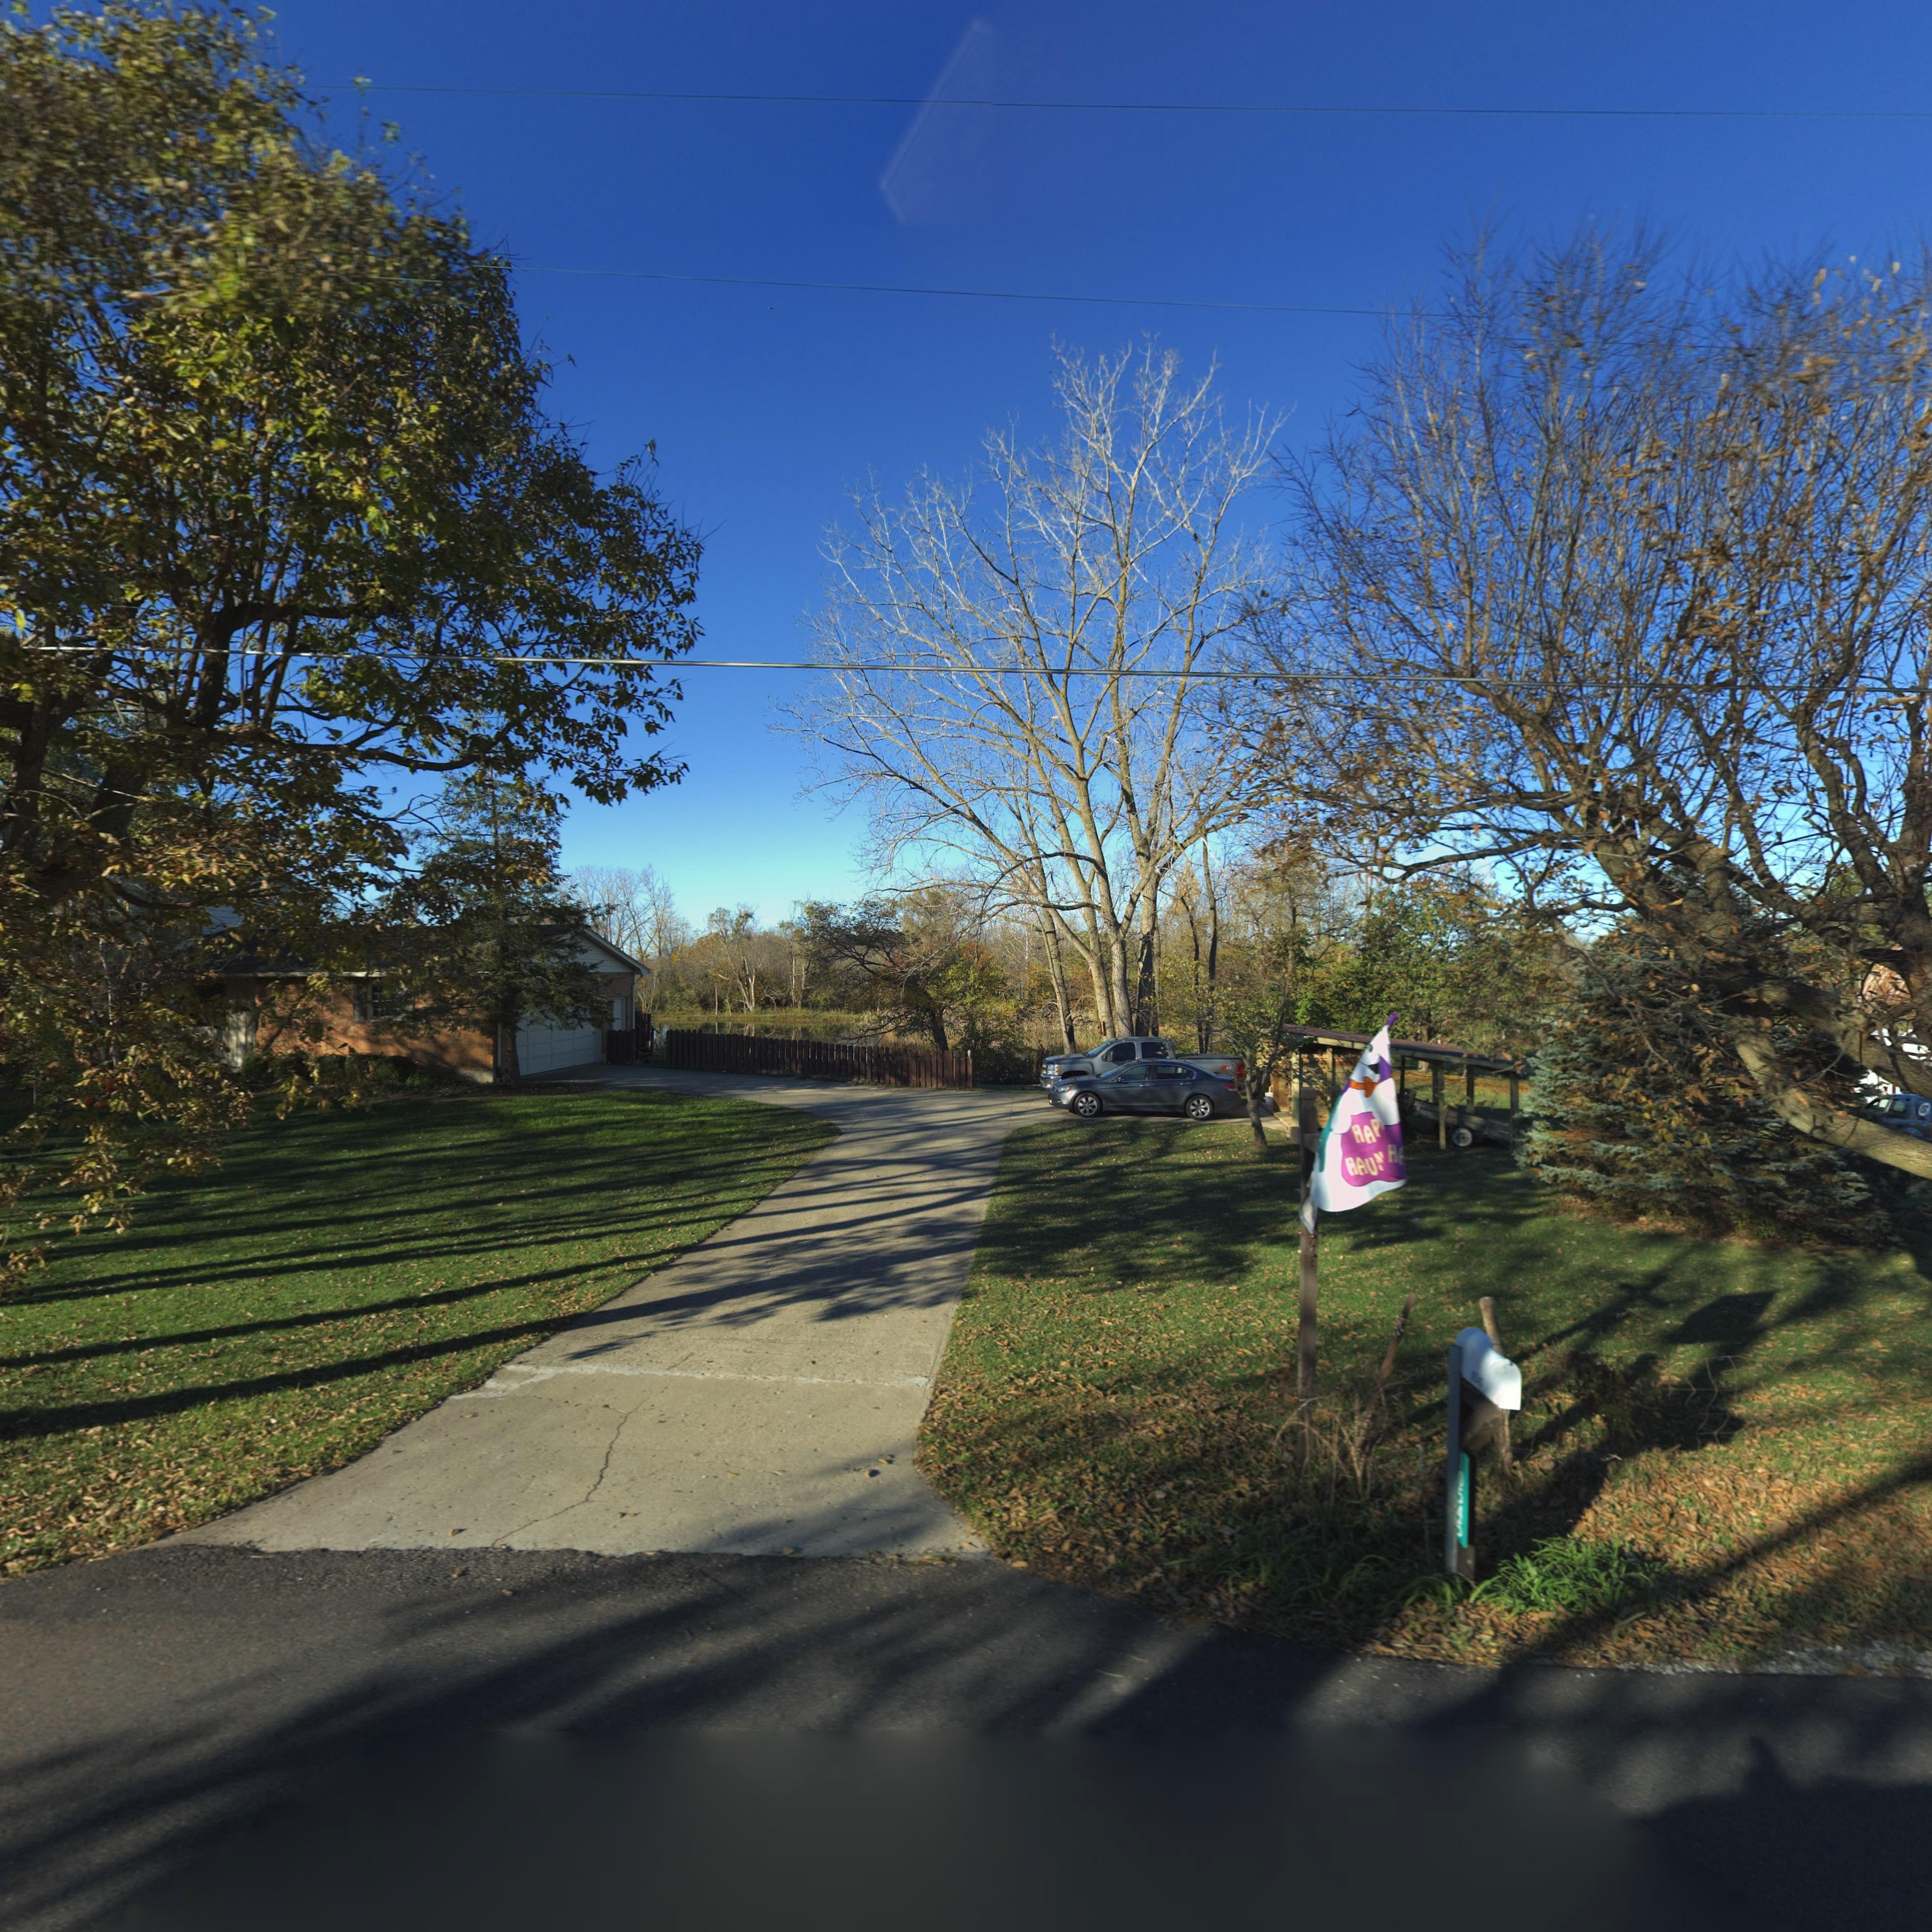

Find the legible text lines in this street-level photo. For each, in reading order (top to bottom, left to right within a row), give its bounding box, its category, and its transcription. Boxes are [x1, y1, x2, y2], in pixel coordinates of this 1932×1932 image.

[1349, 1115, 1384, 1147] None: HAP
[1344, 1142, 1401, 1179] None: HAU* H
[1454, 1469, 1466, 1539] StreetNumber: *545